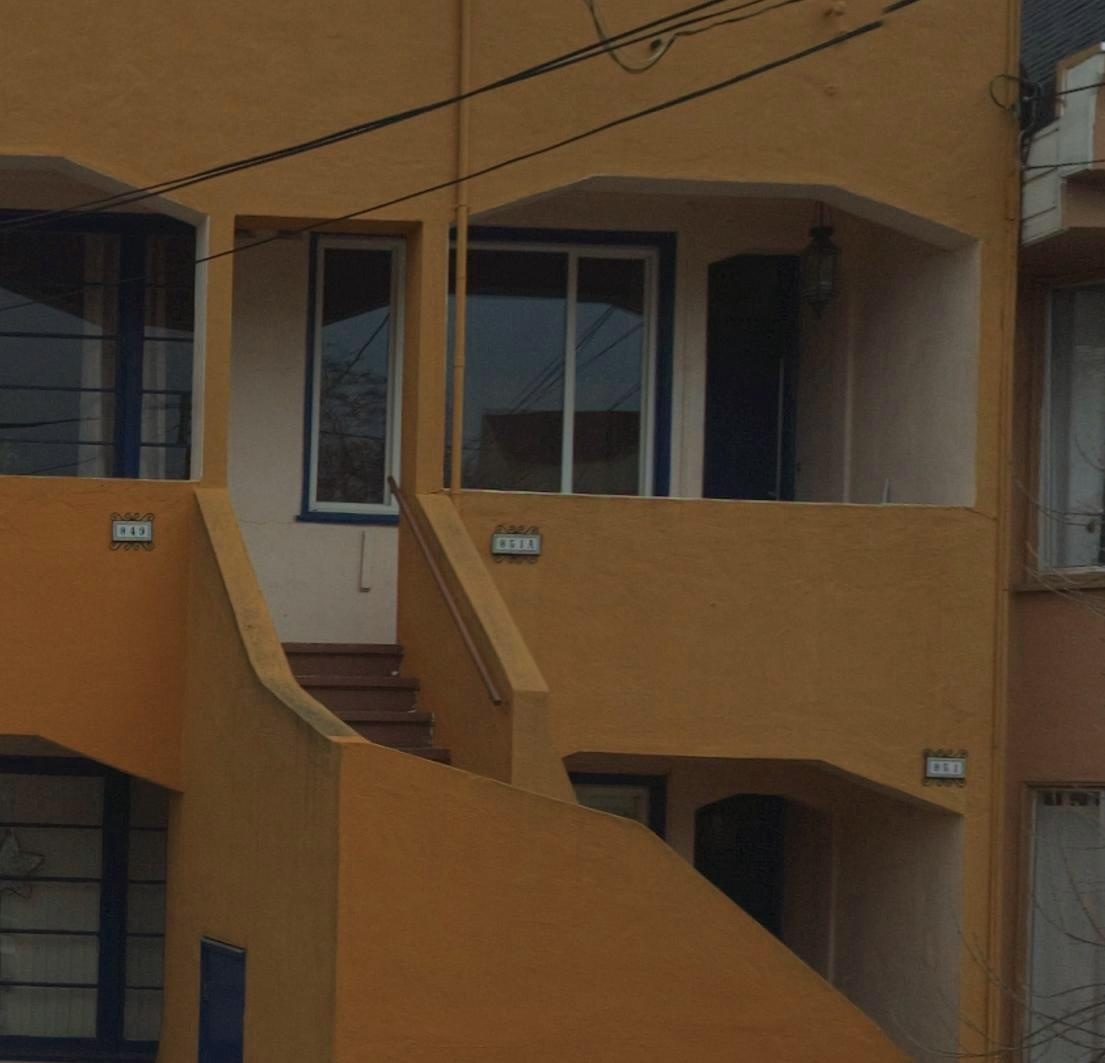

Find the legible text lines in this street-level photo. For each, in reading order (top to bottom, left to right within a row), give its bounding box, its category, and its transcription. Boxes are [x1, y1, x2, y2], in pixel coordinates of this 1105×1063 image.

[118, 524, 146, 536] StreetNumber: 849
[498, 538, 535, 549] StreetNumber: 851A
[930, 762, 961, 774] StreetNumber: 851